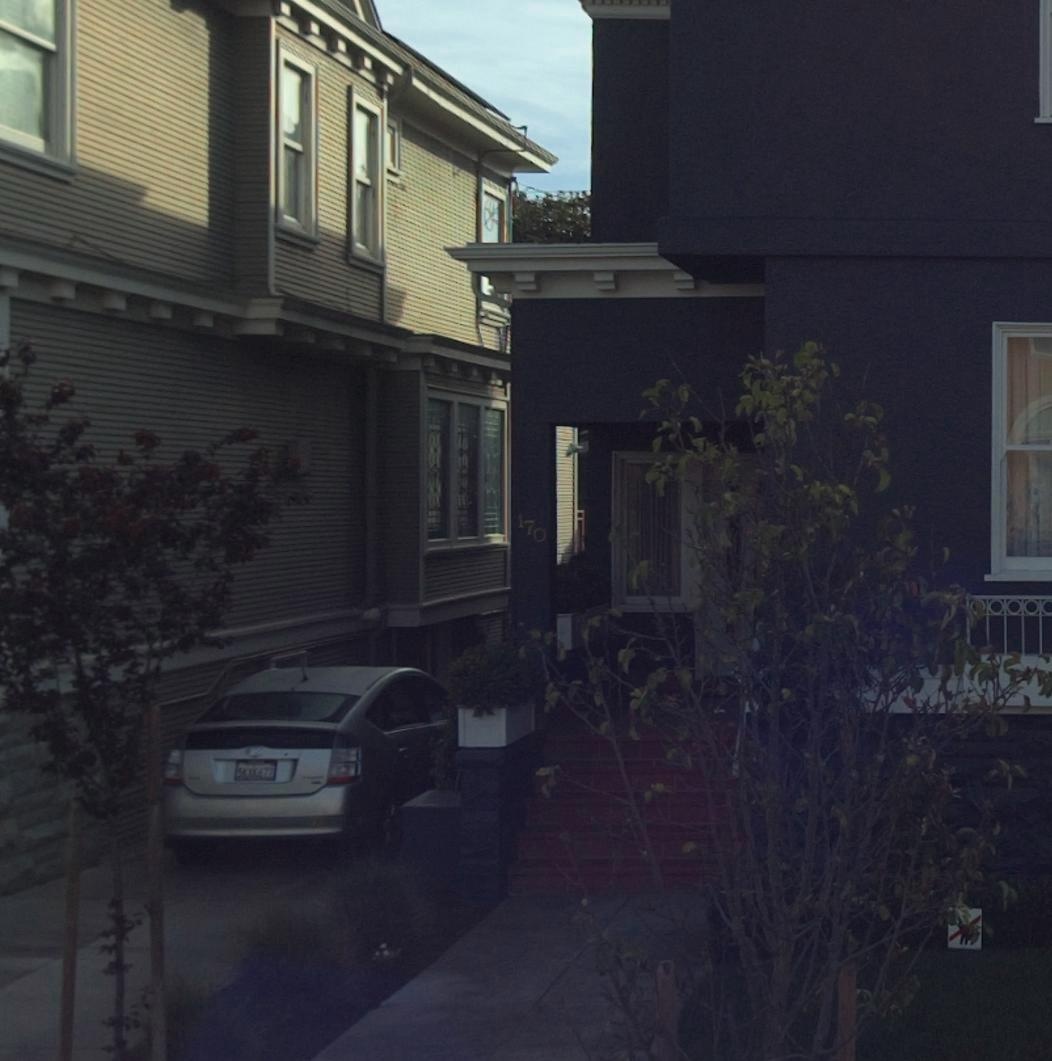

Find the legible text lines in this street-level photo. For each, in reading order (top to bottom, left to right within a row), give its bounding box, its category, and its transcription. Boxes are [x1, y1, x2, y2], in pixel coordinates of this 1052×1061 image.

[515, 510, 548, 545] StreetNumber: 170